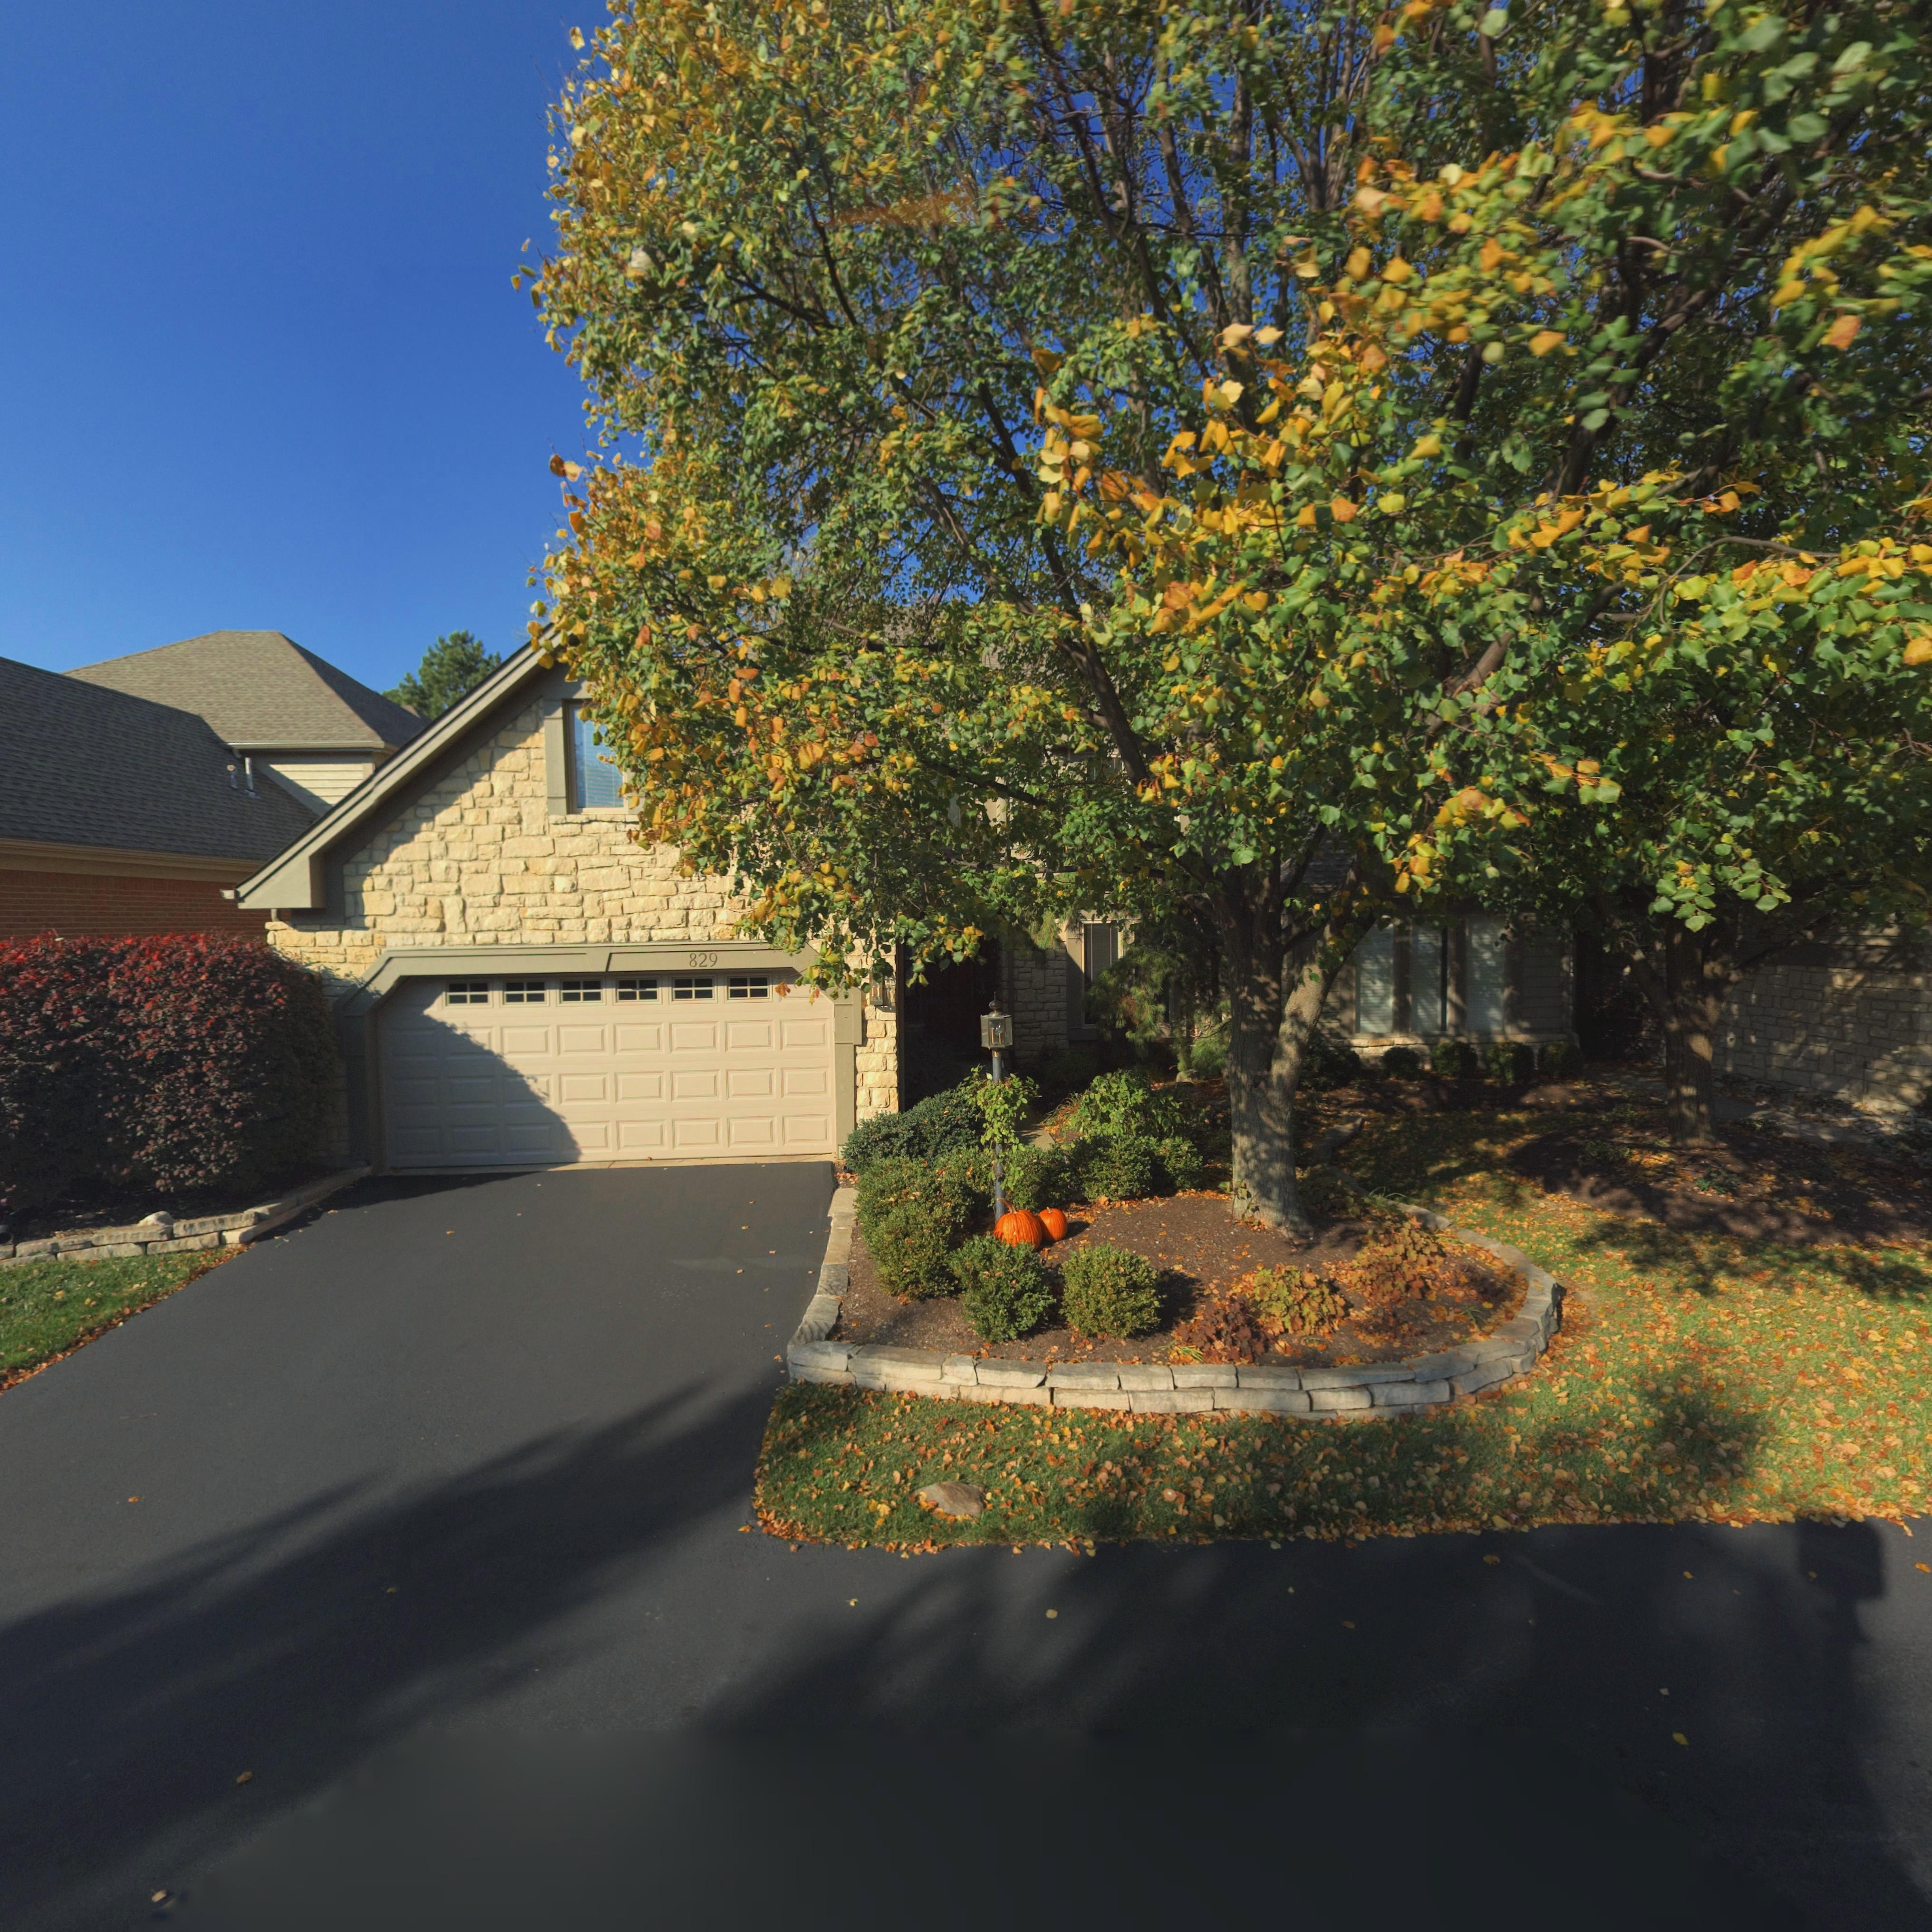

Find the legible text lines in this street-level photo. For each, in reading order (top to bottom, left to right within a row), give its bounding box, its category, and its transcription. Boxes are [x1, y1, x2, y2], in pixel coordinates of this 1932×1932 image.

[687, 950, 719, 970] StreetNumber: 829